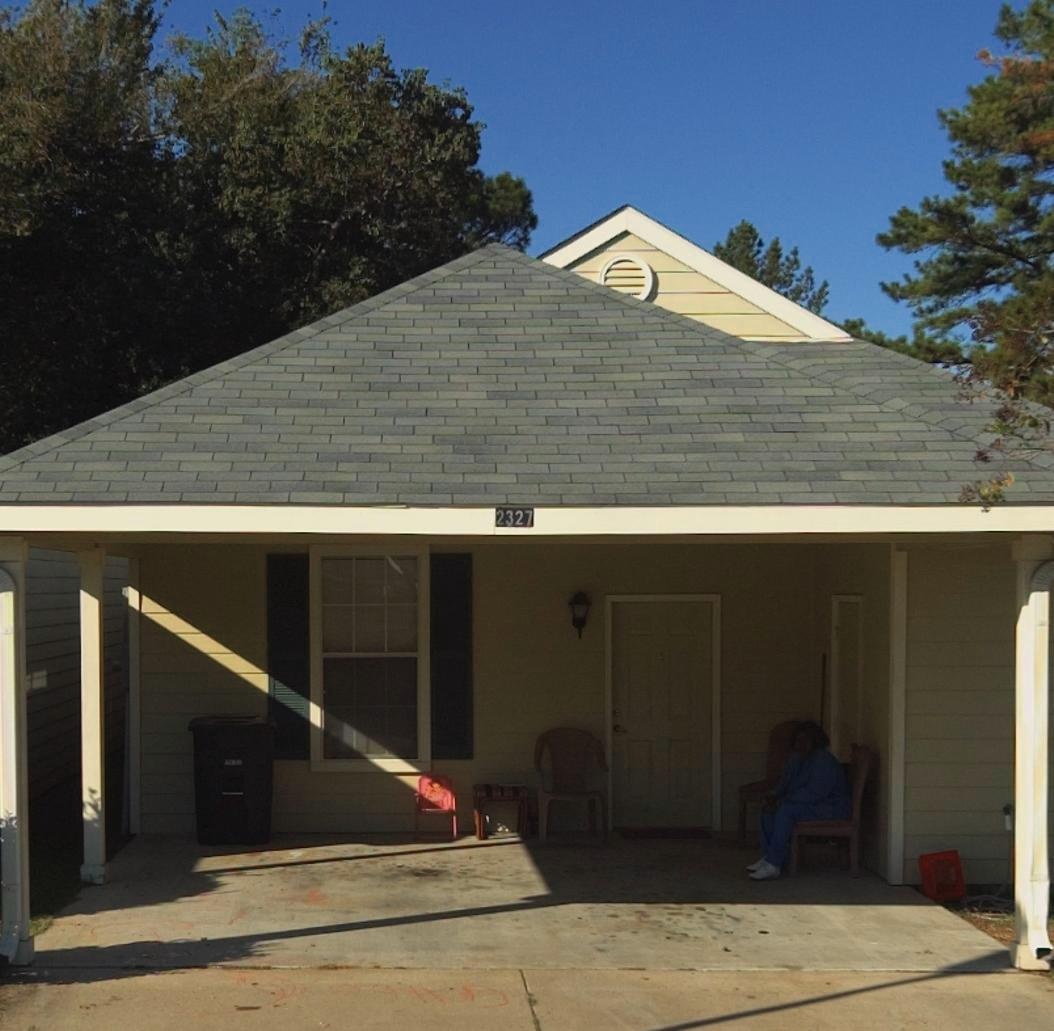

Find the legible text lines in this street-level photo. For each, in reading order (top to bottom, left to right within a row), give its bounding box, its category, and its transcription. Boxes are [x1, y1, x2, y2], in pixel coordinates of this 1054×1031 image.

[496, 509, 534, 527] StreetNumber: 2327